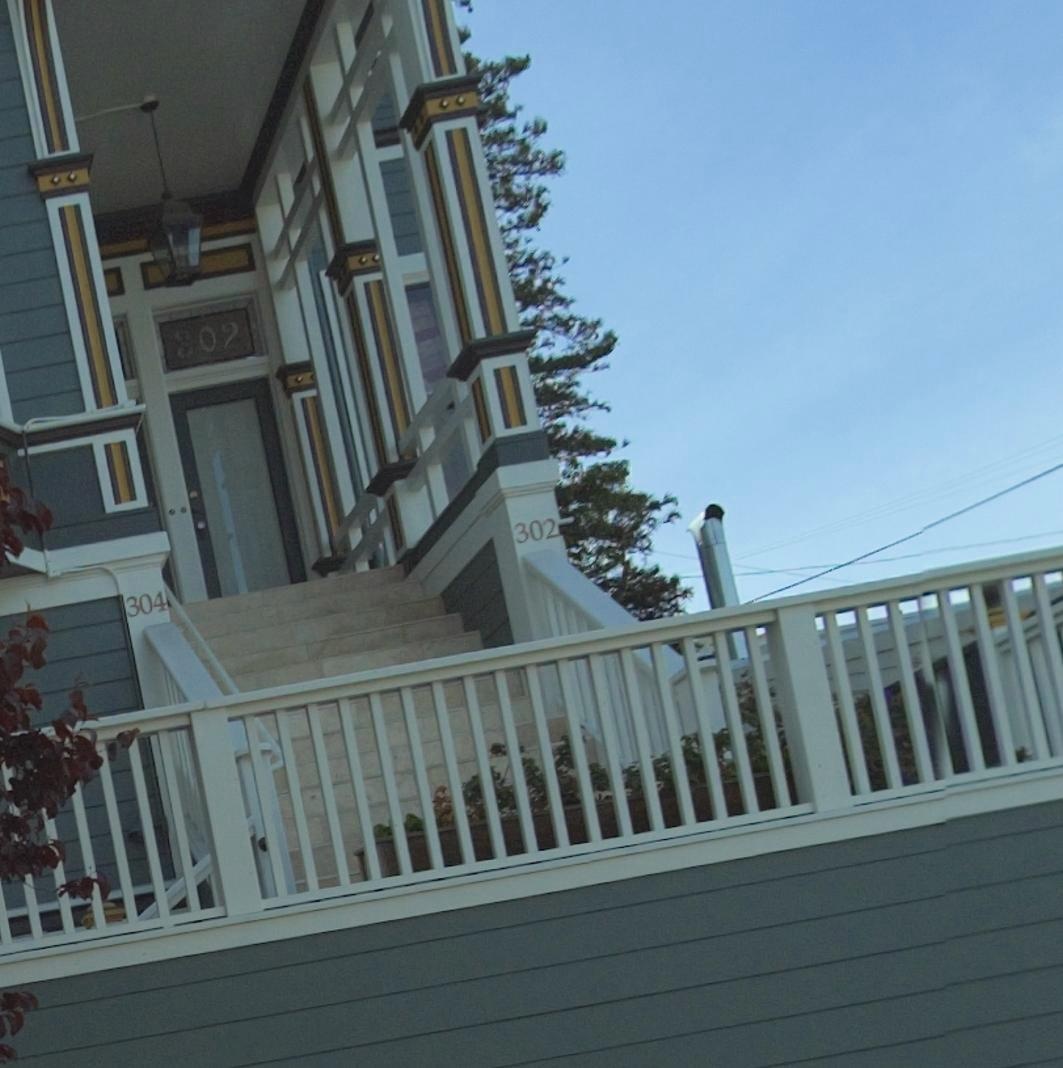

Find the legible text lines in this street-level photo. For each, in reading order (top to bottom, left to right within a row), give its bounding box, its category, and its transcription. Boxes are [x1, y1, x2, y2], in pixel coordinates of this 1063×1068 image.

[173, 319, 244, 360] StreetNumber: 302
[513, 516, 561, 545] StreetNumber: 302
[124, 589, 169, 619] StreetNumber: 304